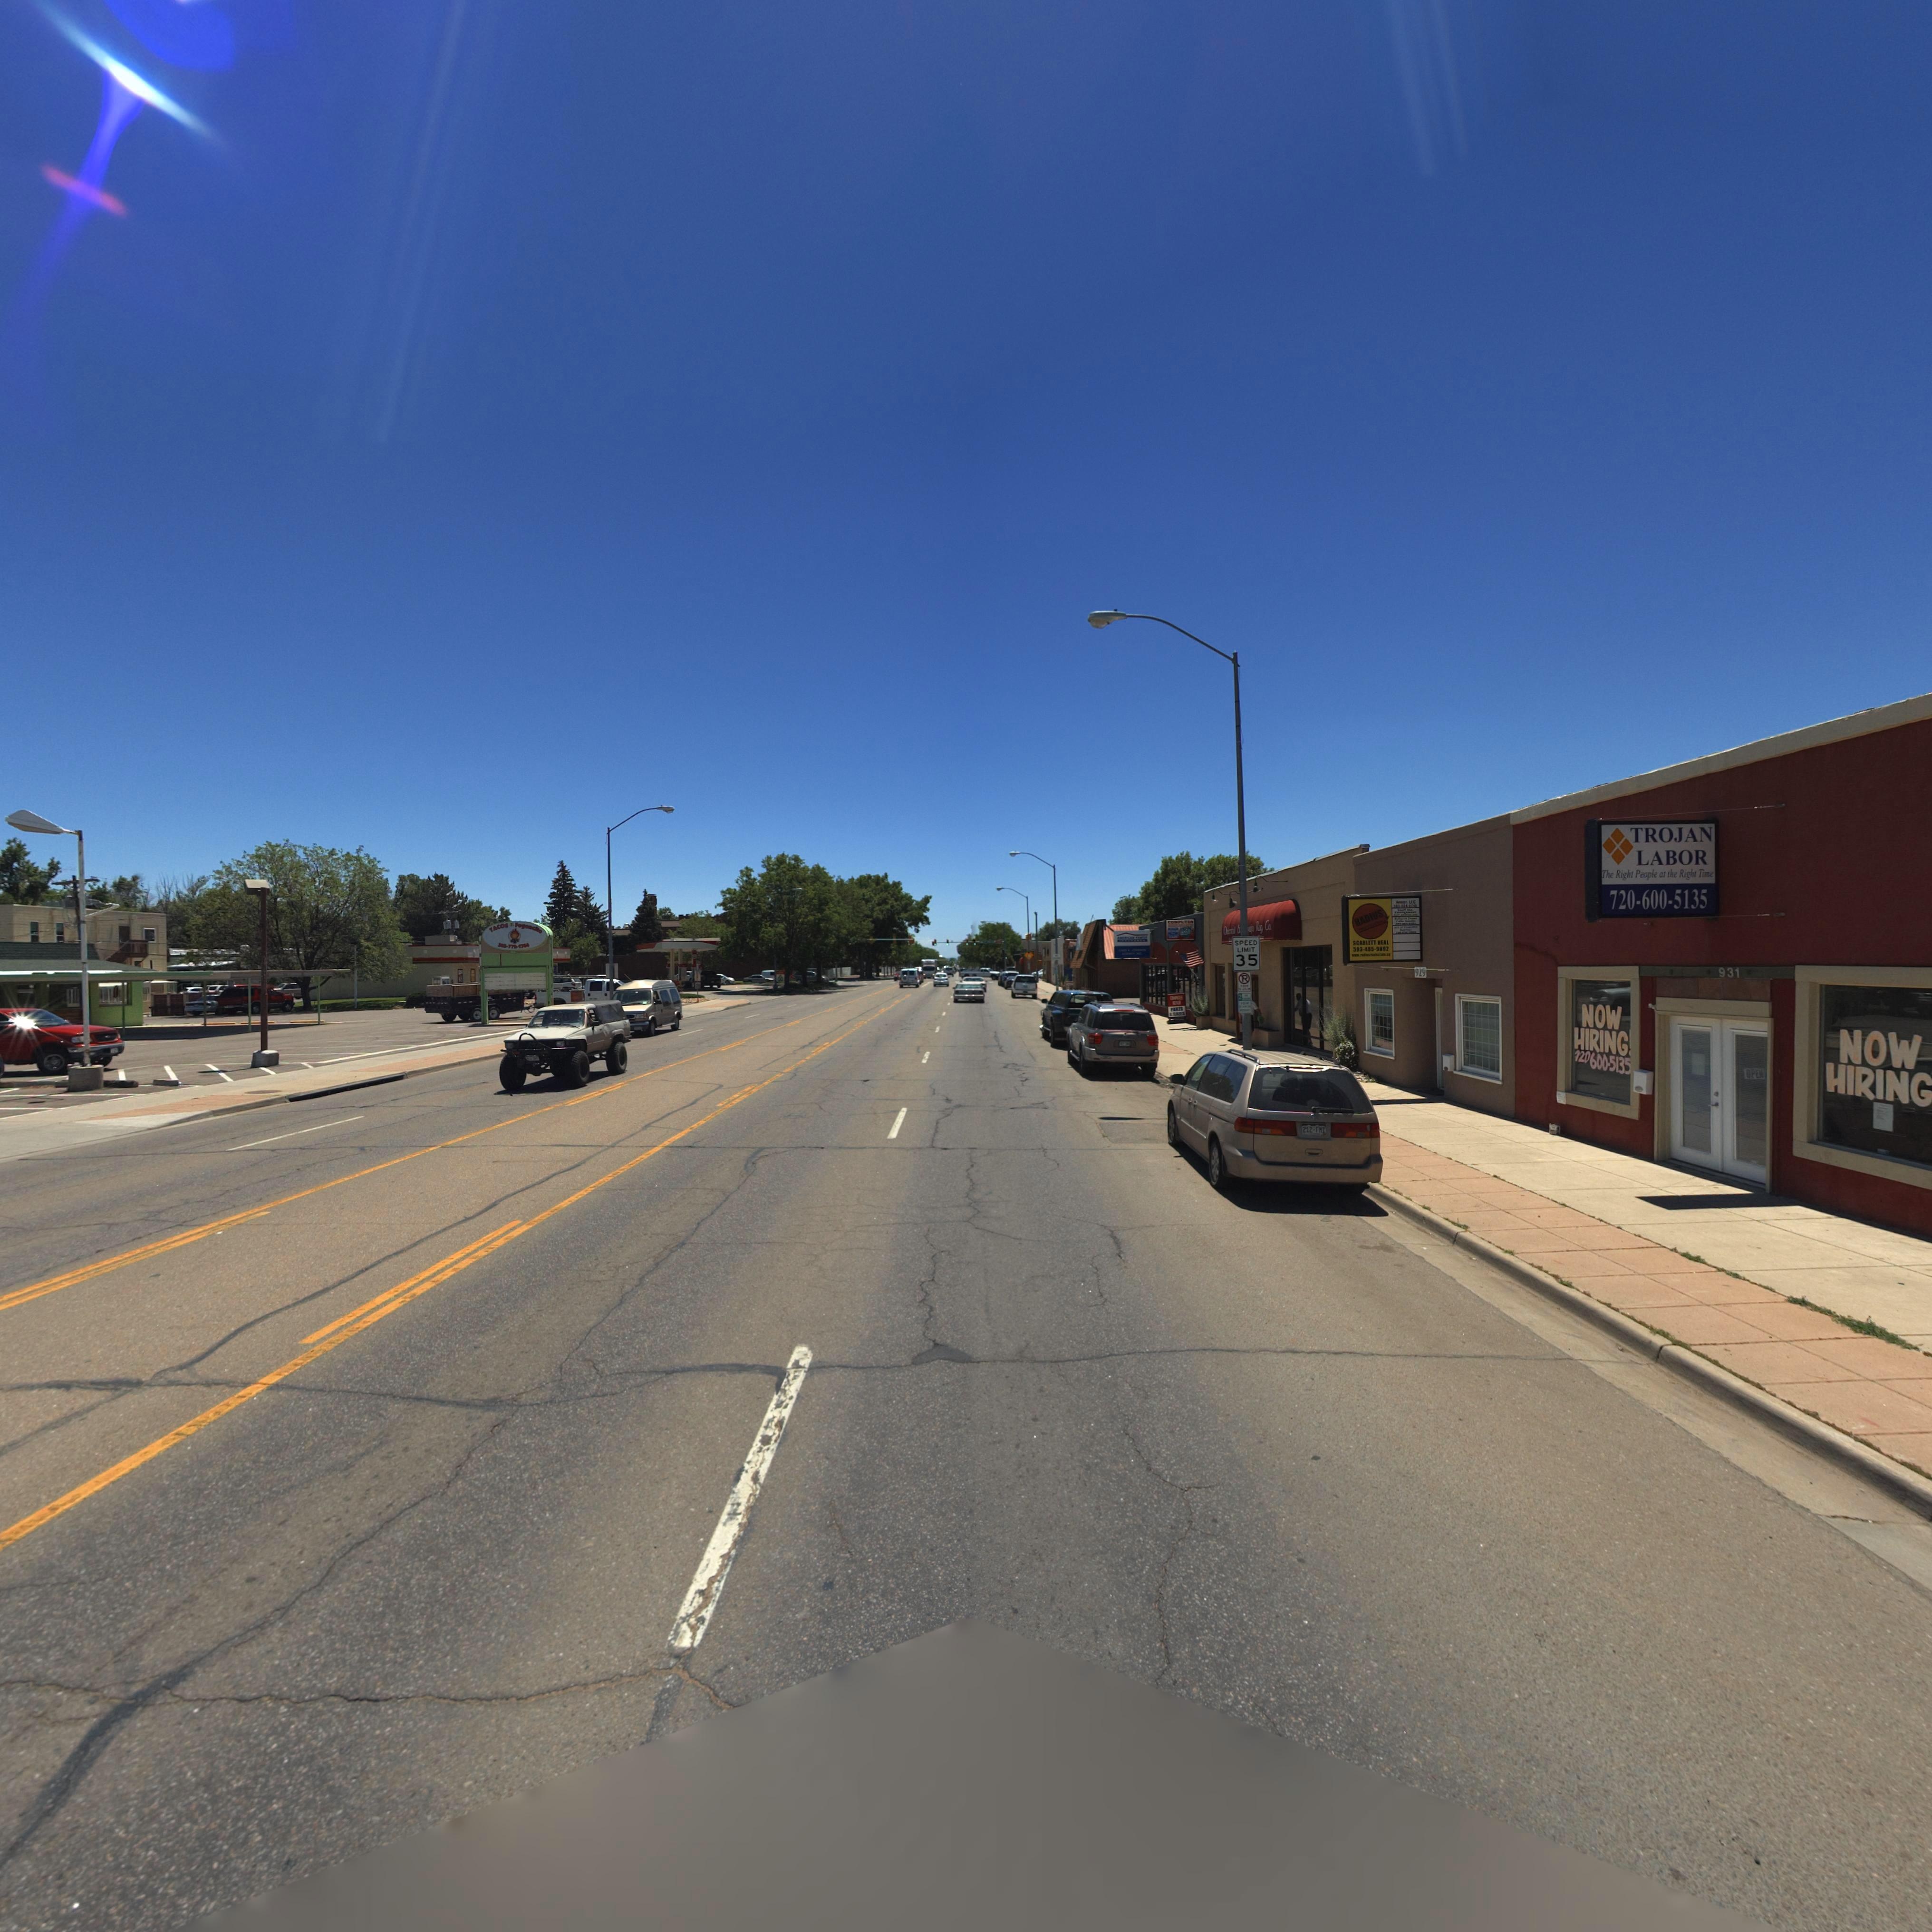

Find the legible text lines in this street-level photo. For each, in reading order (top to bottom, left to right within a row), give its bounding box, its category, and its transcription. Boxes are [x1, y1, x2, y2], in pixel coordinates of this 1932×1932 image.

[1630, 826, 1713, 844] BusinessName: TROJAN
[1635, 849, 1709, 866] BusinessName: LABOR
[1395, 899, 1416, 904] BusinessName: A*****, L*C
[488, 922, 543, 934] BusinessName: TACOS EL *ogo*cito
[1167, 920, 1193, 924] BusinessName: CO*PUT*R
[1223, 920, 1272, 935] BusinessName: ORienTal & Navajo Rug Co.
[1353, 909, 1384, 927] BusinessName: RADIUS
[1394, 911, 1416, 914] BusinessName: C**********
[1394, 916, 1418, 921] BusinessName: ******* J****
[1117, 936, 1148, 939] BusinessName: AM****** FA***
[1414, 967, 1426, 976] StreetNumber: 929
[1717, 966, 1739, 978] StreetNumber: 931